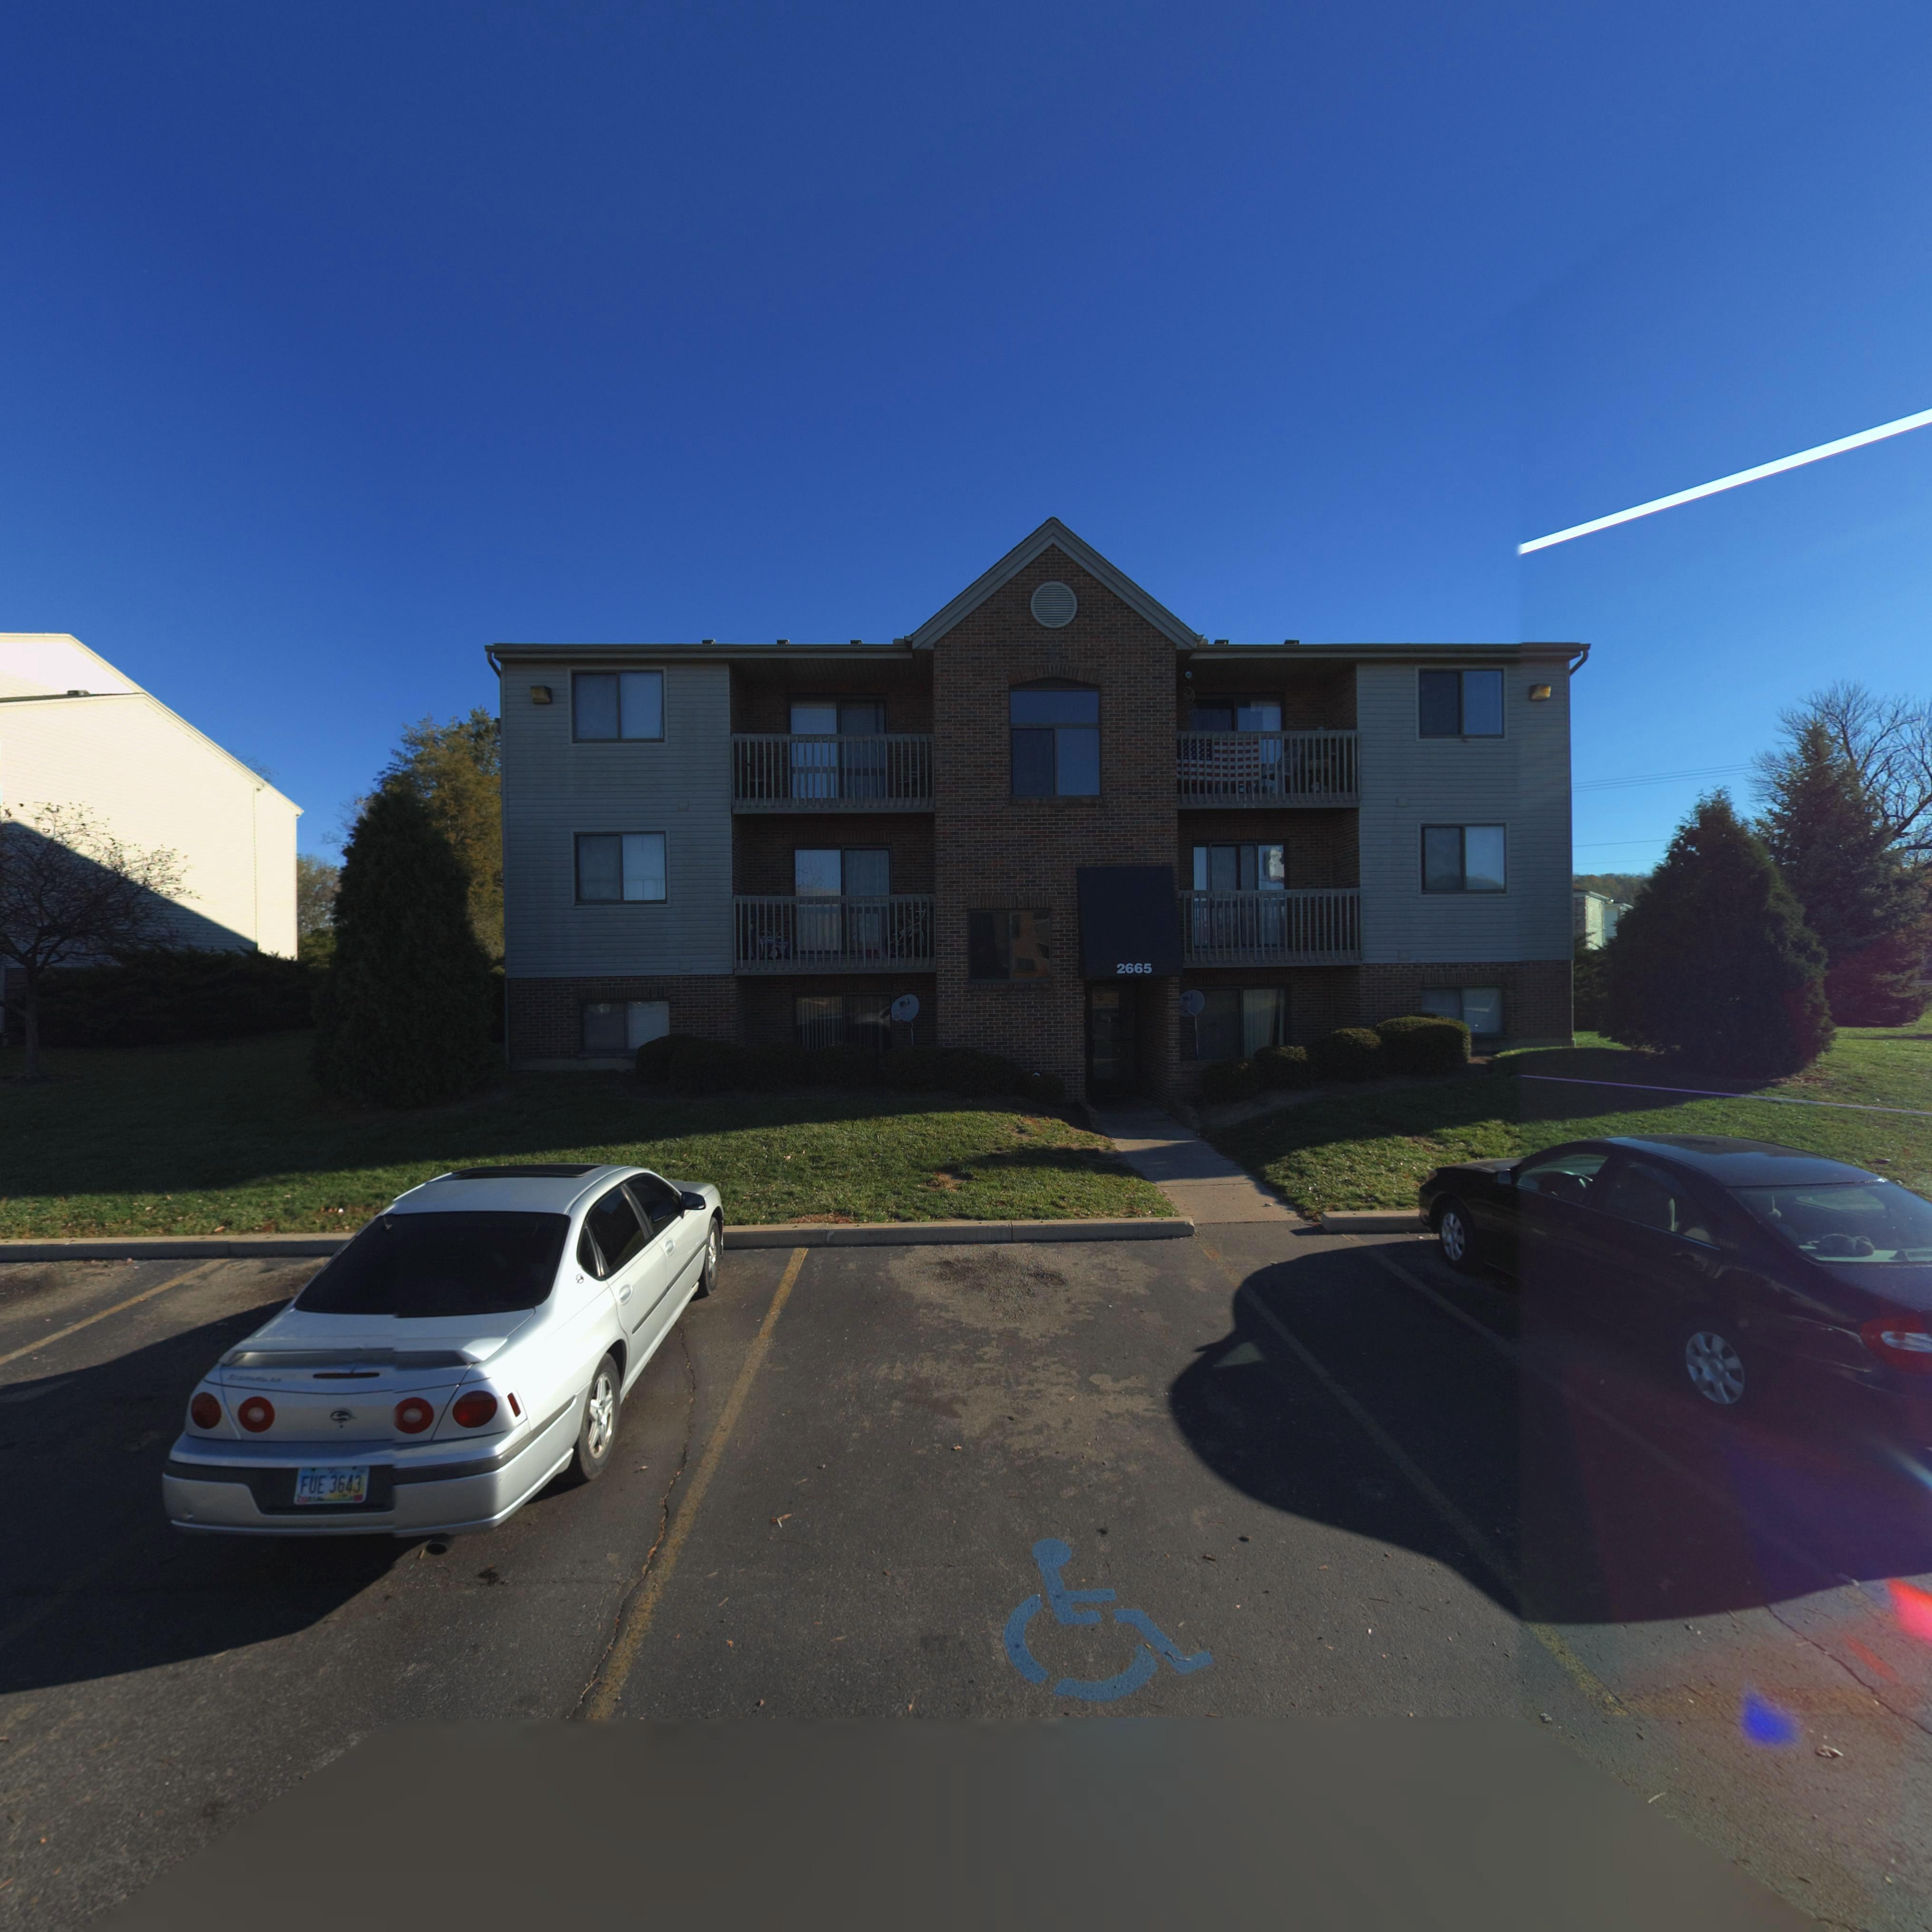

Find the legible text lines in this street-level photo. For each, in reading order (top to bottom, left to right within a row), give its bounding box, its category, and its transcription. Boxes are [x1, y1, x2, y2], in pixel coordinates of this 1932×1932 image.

[1117, 963, 1152, 974] StreetNumber: 2665